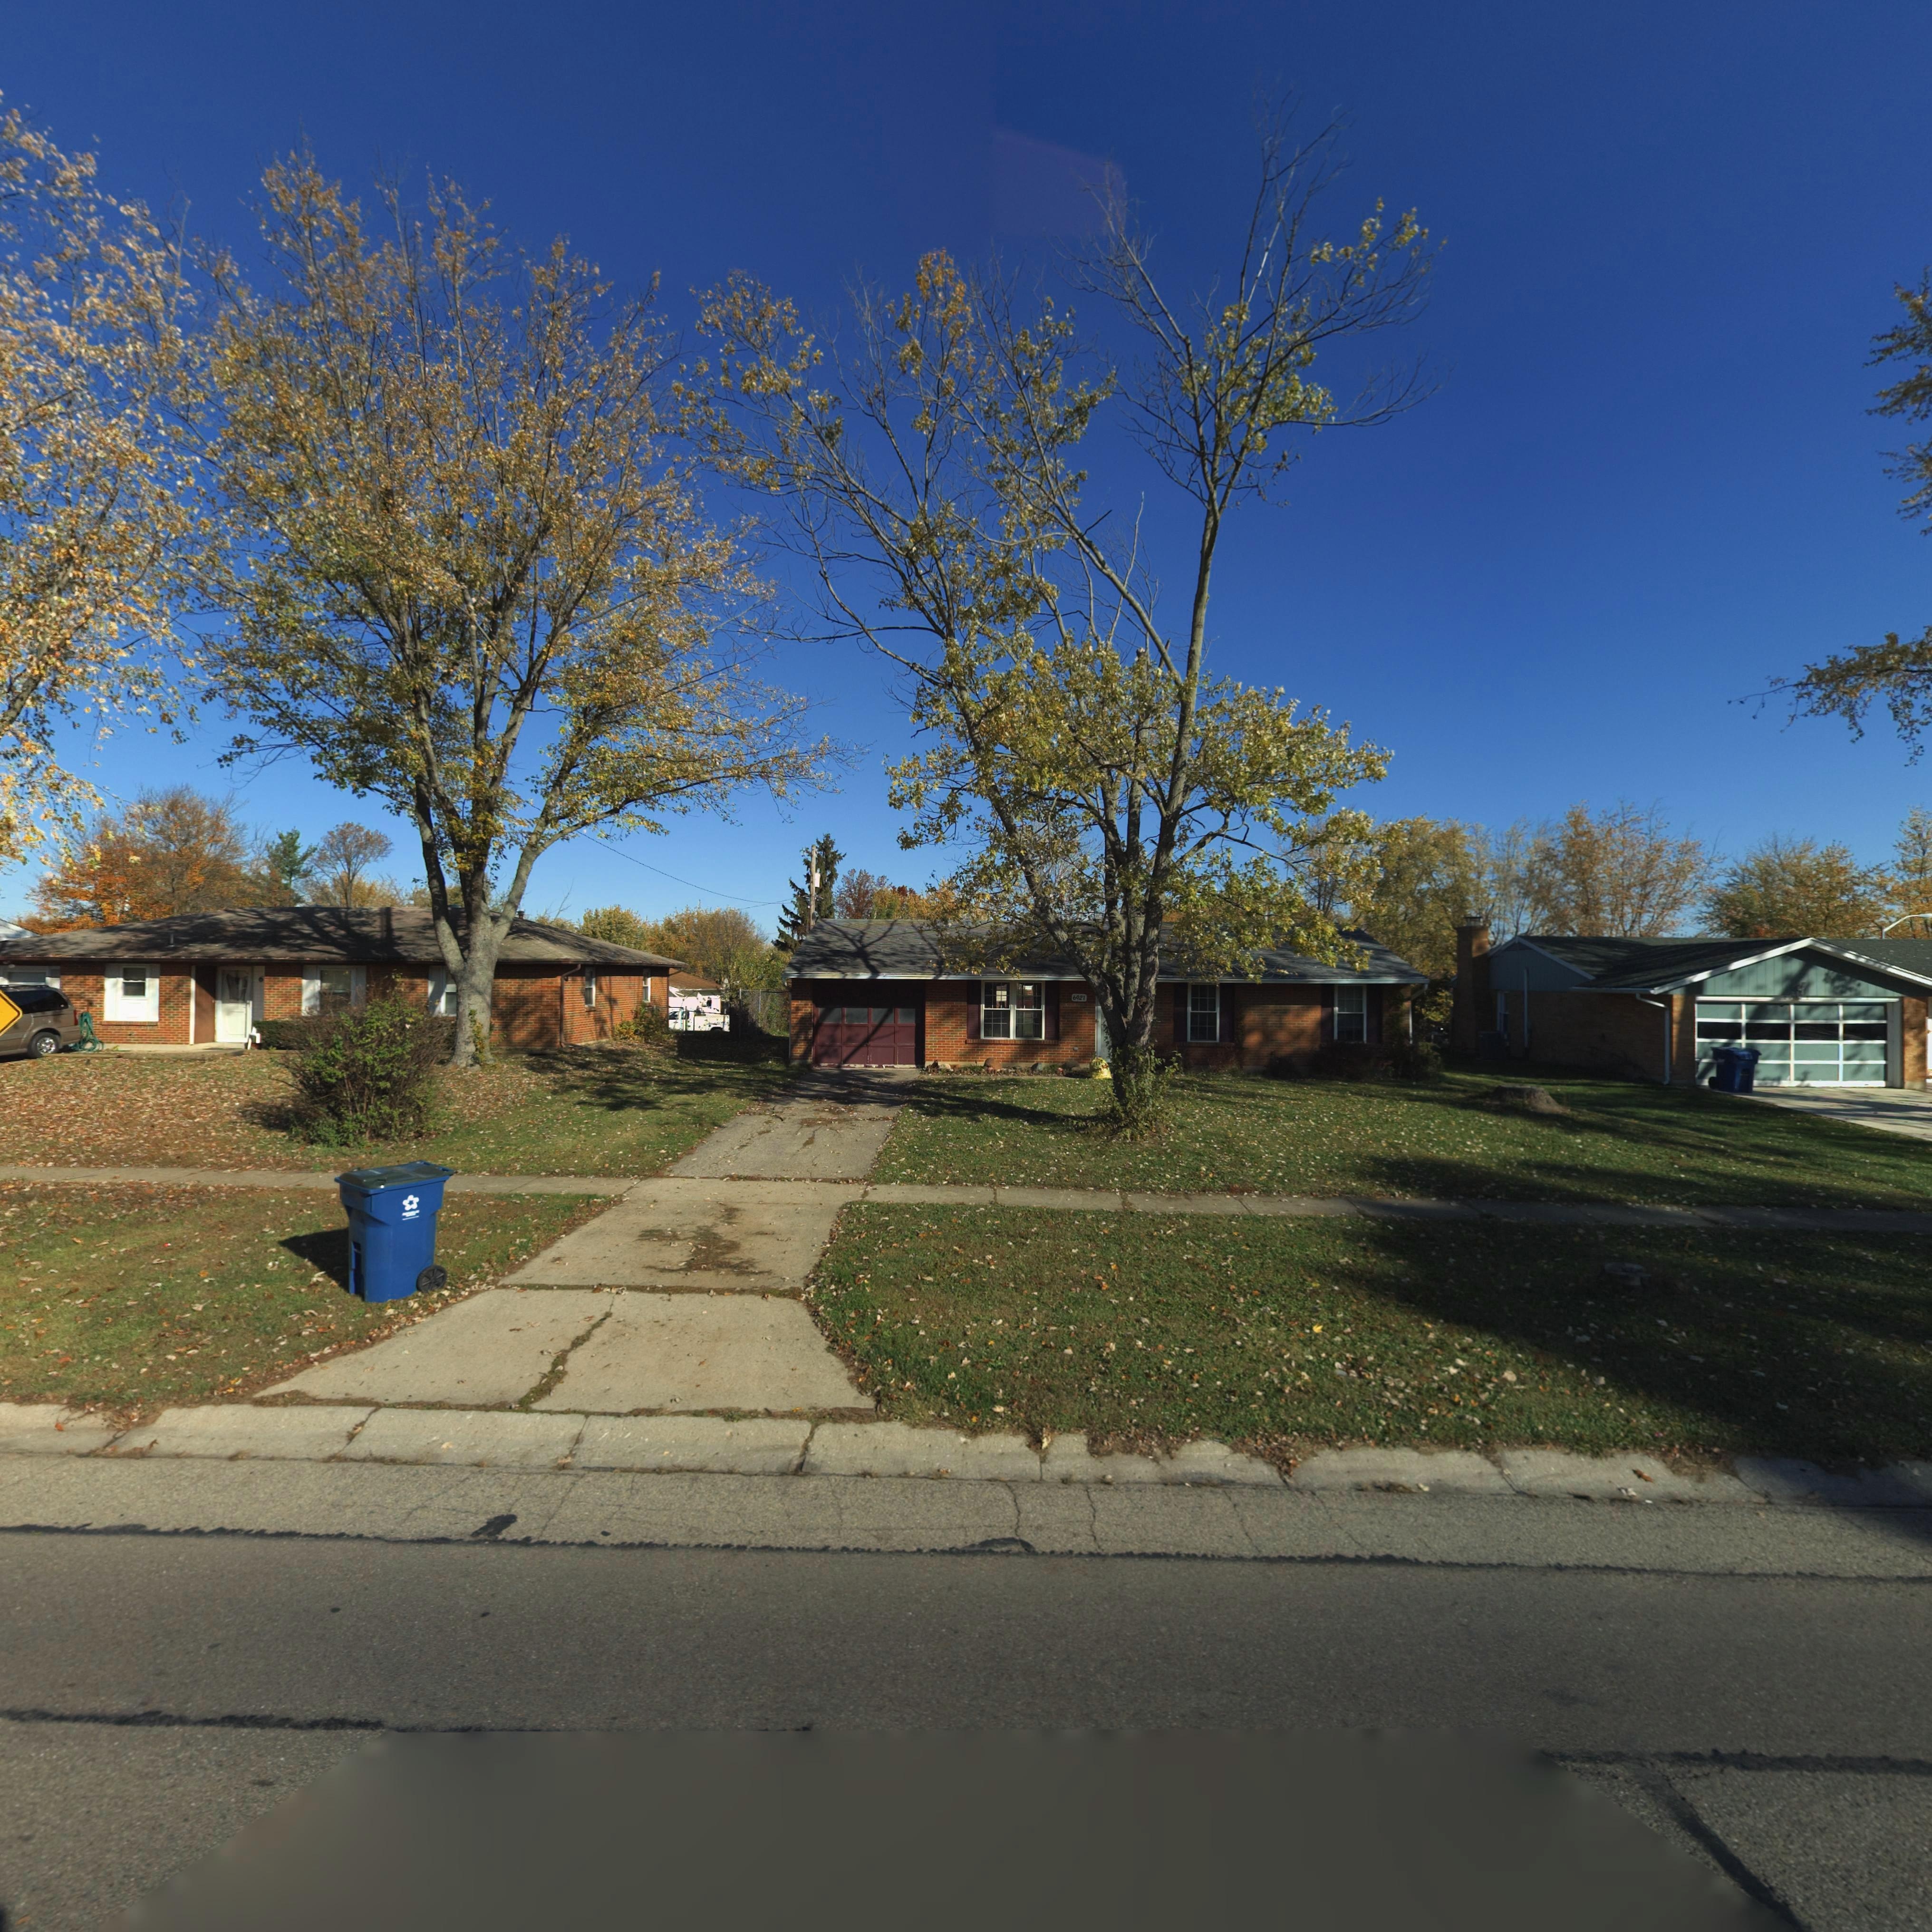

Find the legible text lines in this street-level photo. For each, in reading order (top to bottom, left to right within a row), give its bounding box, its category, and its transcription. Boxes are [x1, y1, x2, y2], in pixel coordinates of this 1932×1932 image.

[257, 974, 265, 984] StreetNumber: 6
[1072, 994, 1086, 1002] StreetNumber: 6921